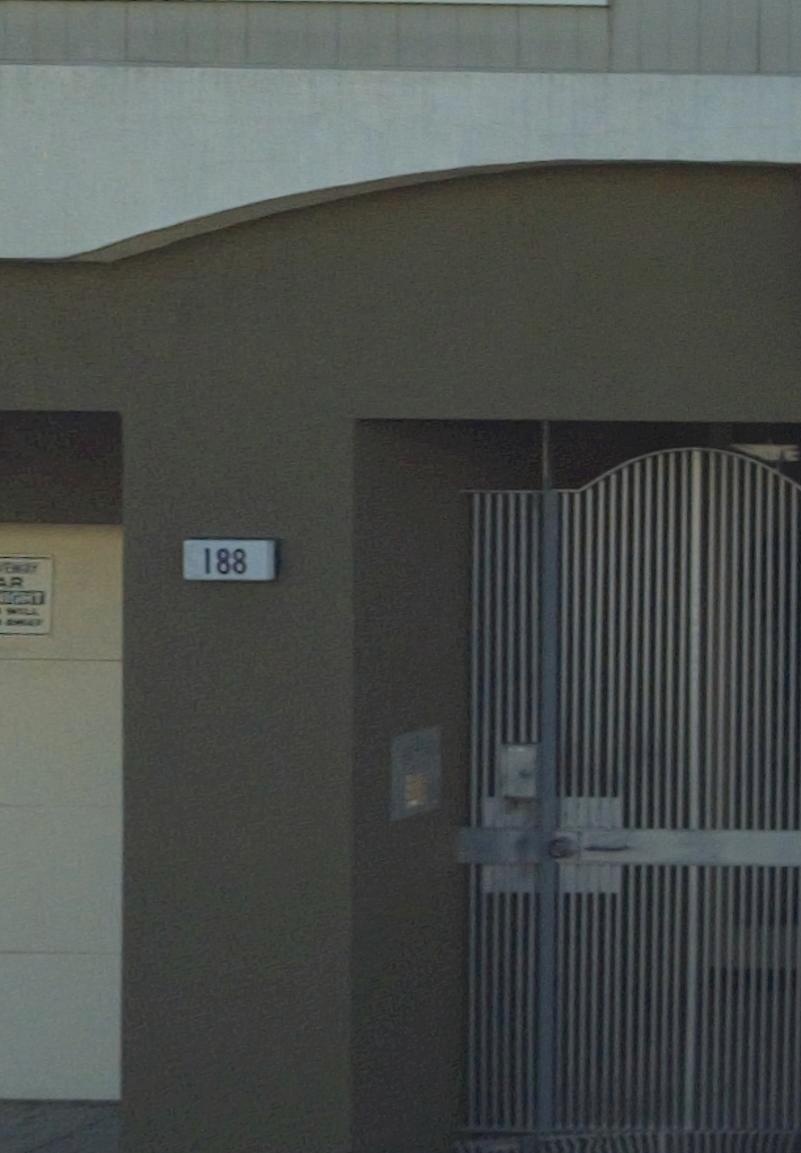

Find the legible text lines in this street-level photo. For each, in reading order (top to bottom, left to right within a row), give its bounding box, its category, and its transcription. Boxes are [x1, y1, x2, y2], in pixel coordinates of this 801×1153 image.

[201, 546, 249, 576] StreetNumber: 188
[8, 575, 23, 590] None: R